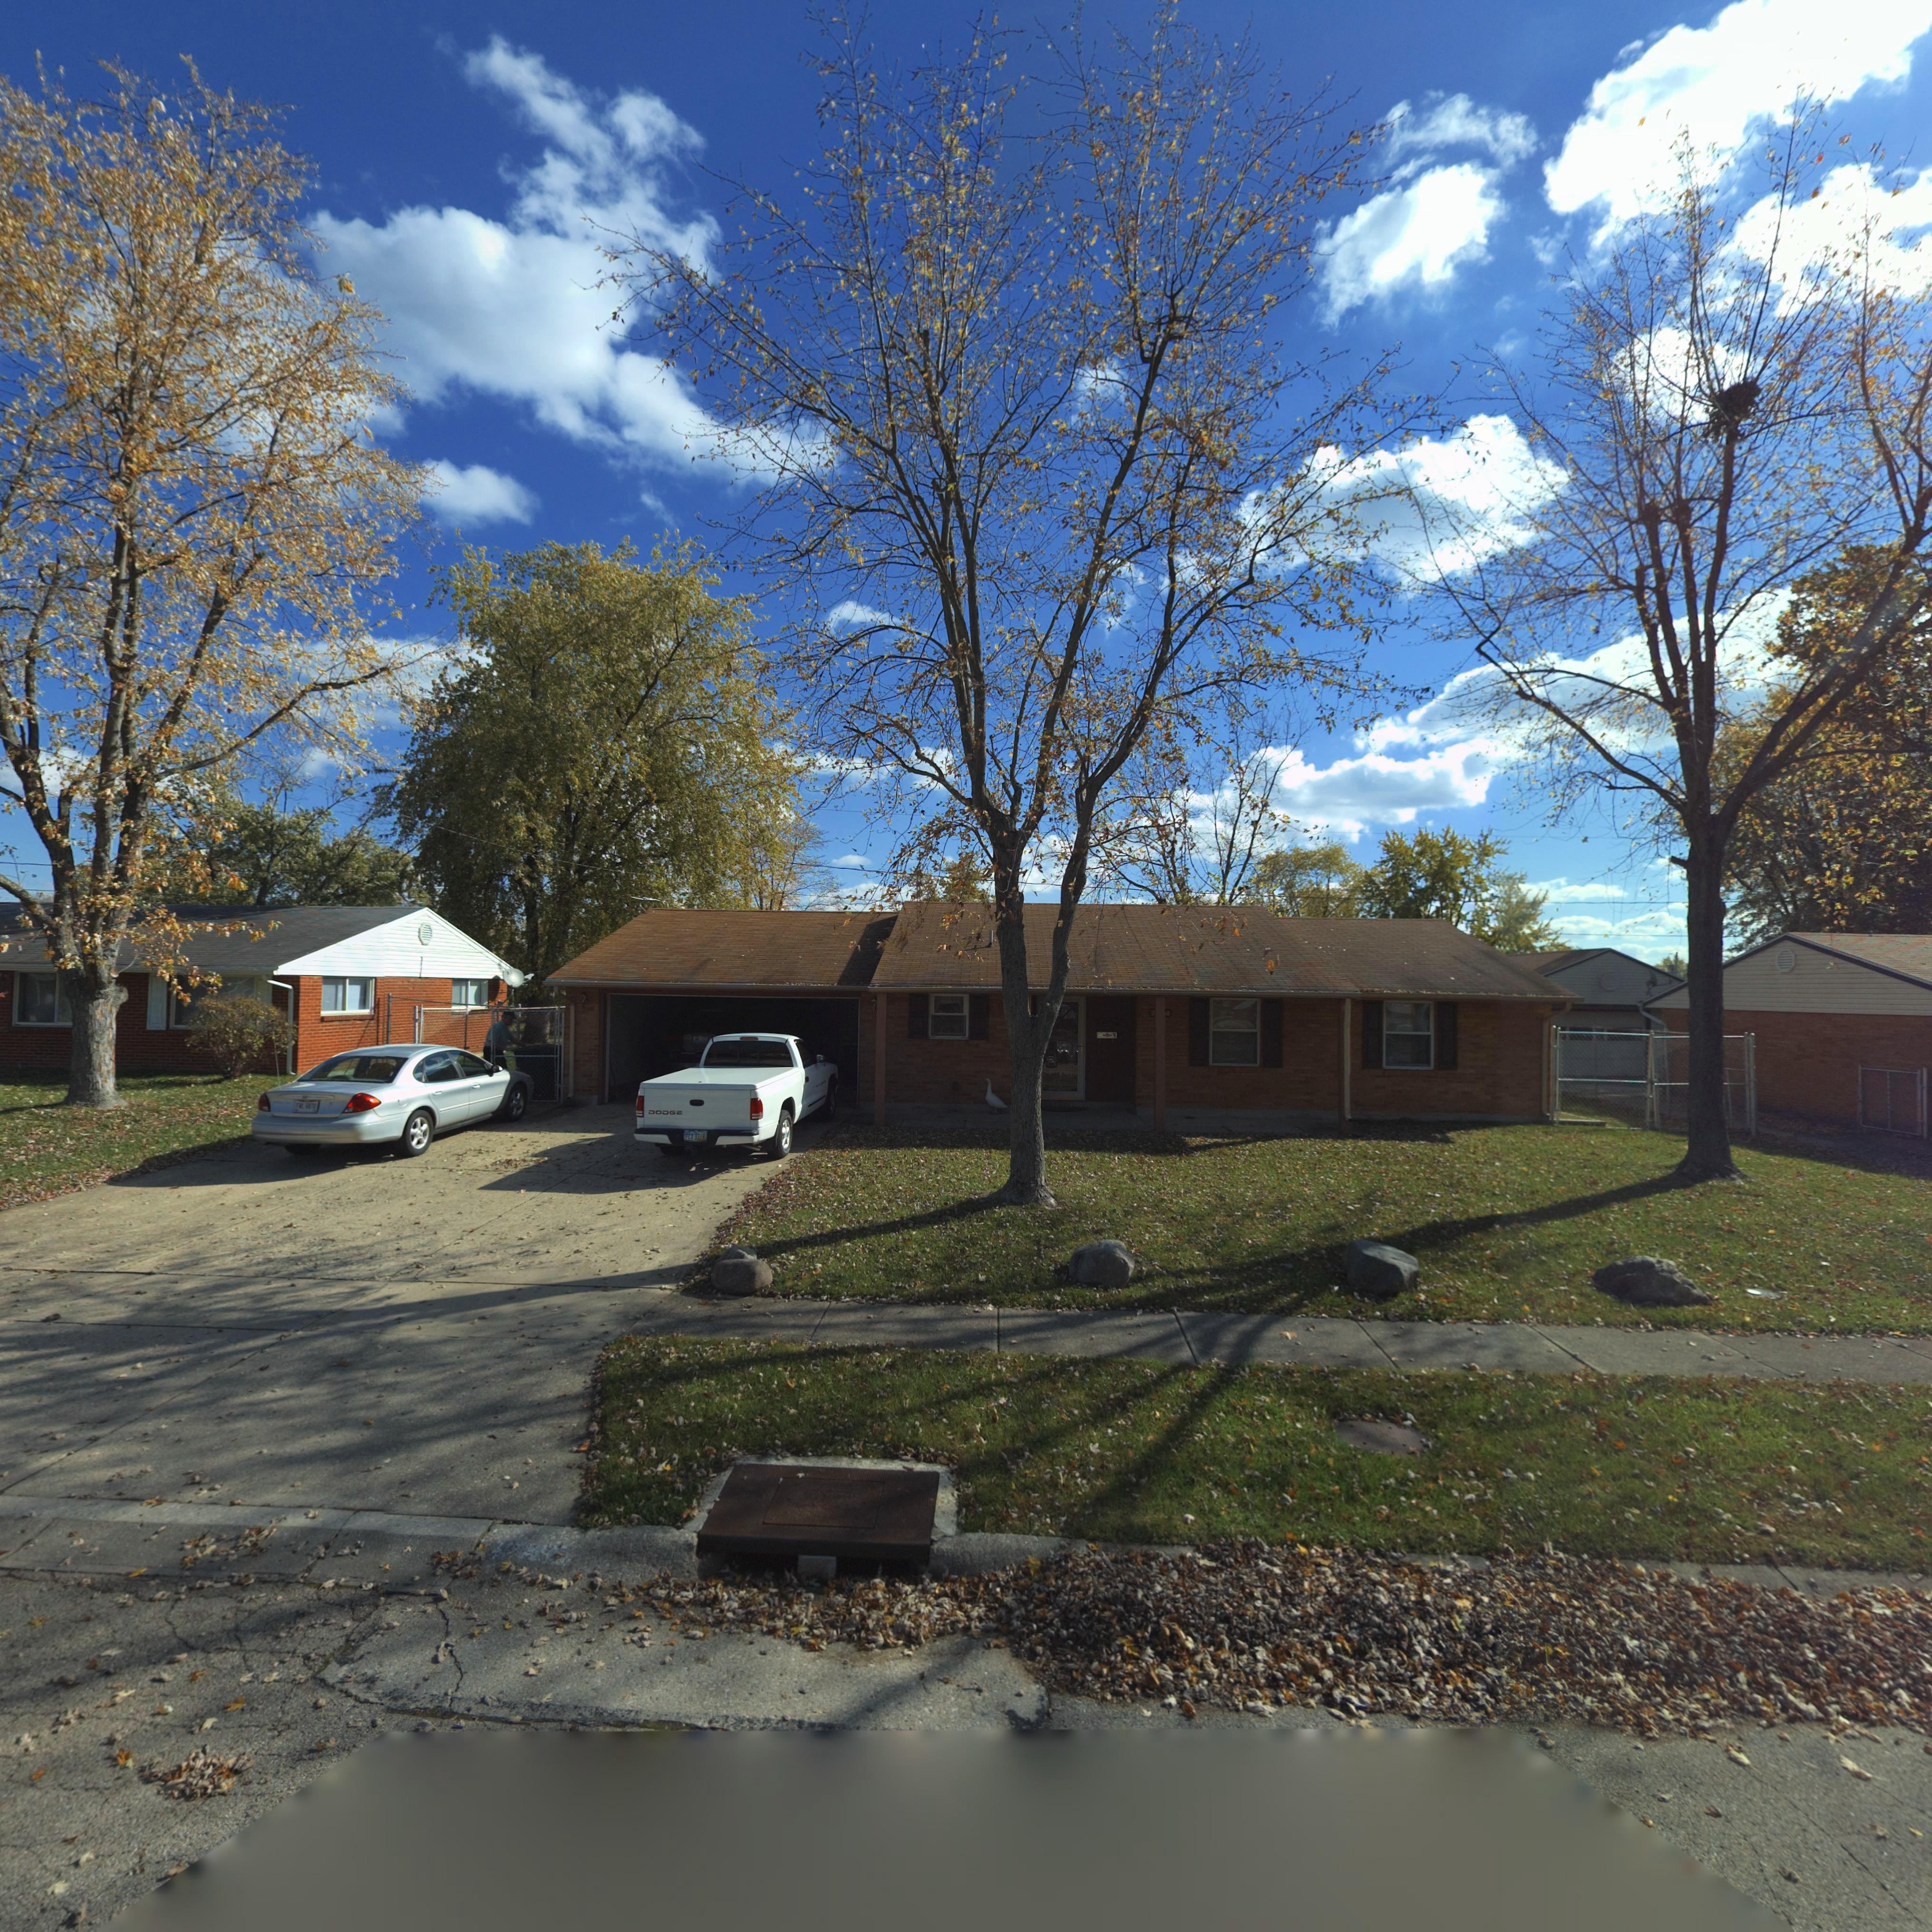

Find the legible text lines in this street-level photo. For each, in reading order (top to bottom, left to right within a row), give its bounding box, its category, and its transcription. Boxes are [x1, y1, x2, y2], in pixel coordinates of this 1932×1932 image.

[1150, 1009, 1171, 1018] StreetNumber: 7**4